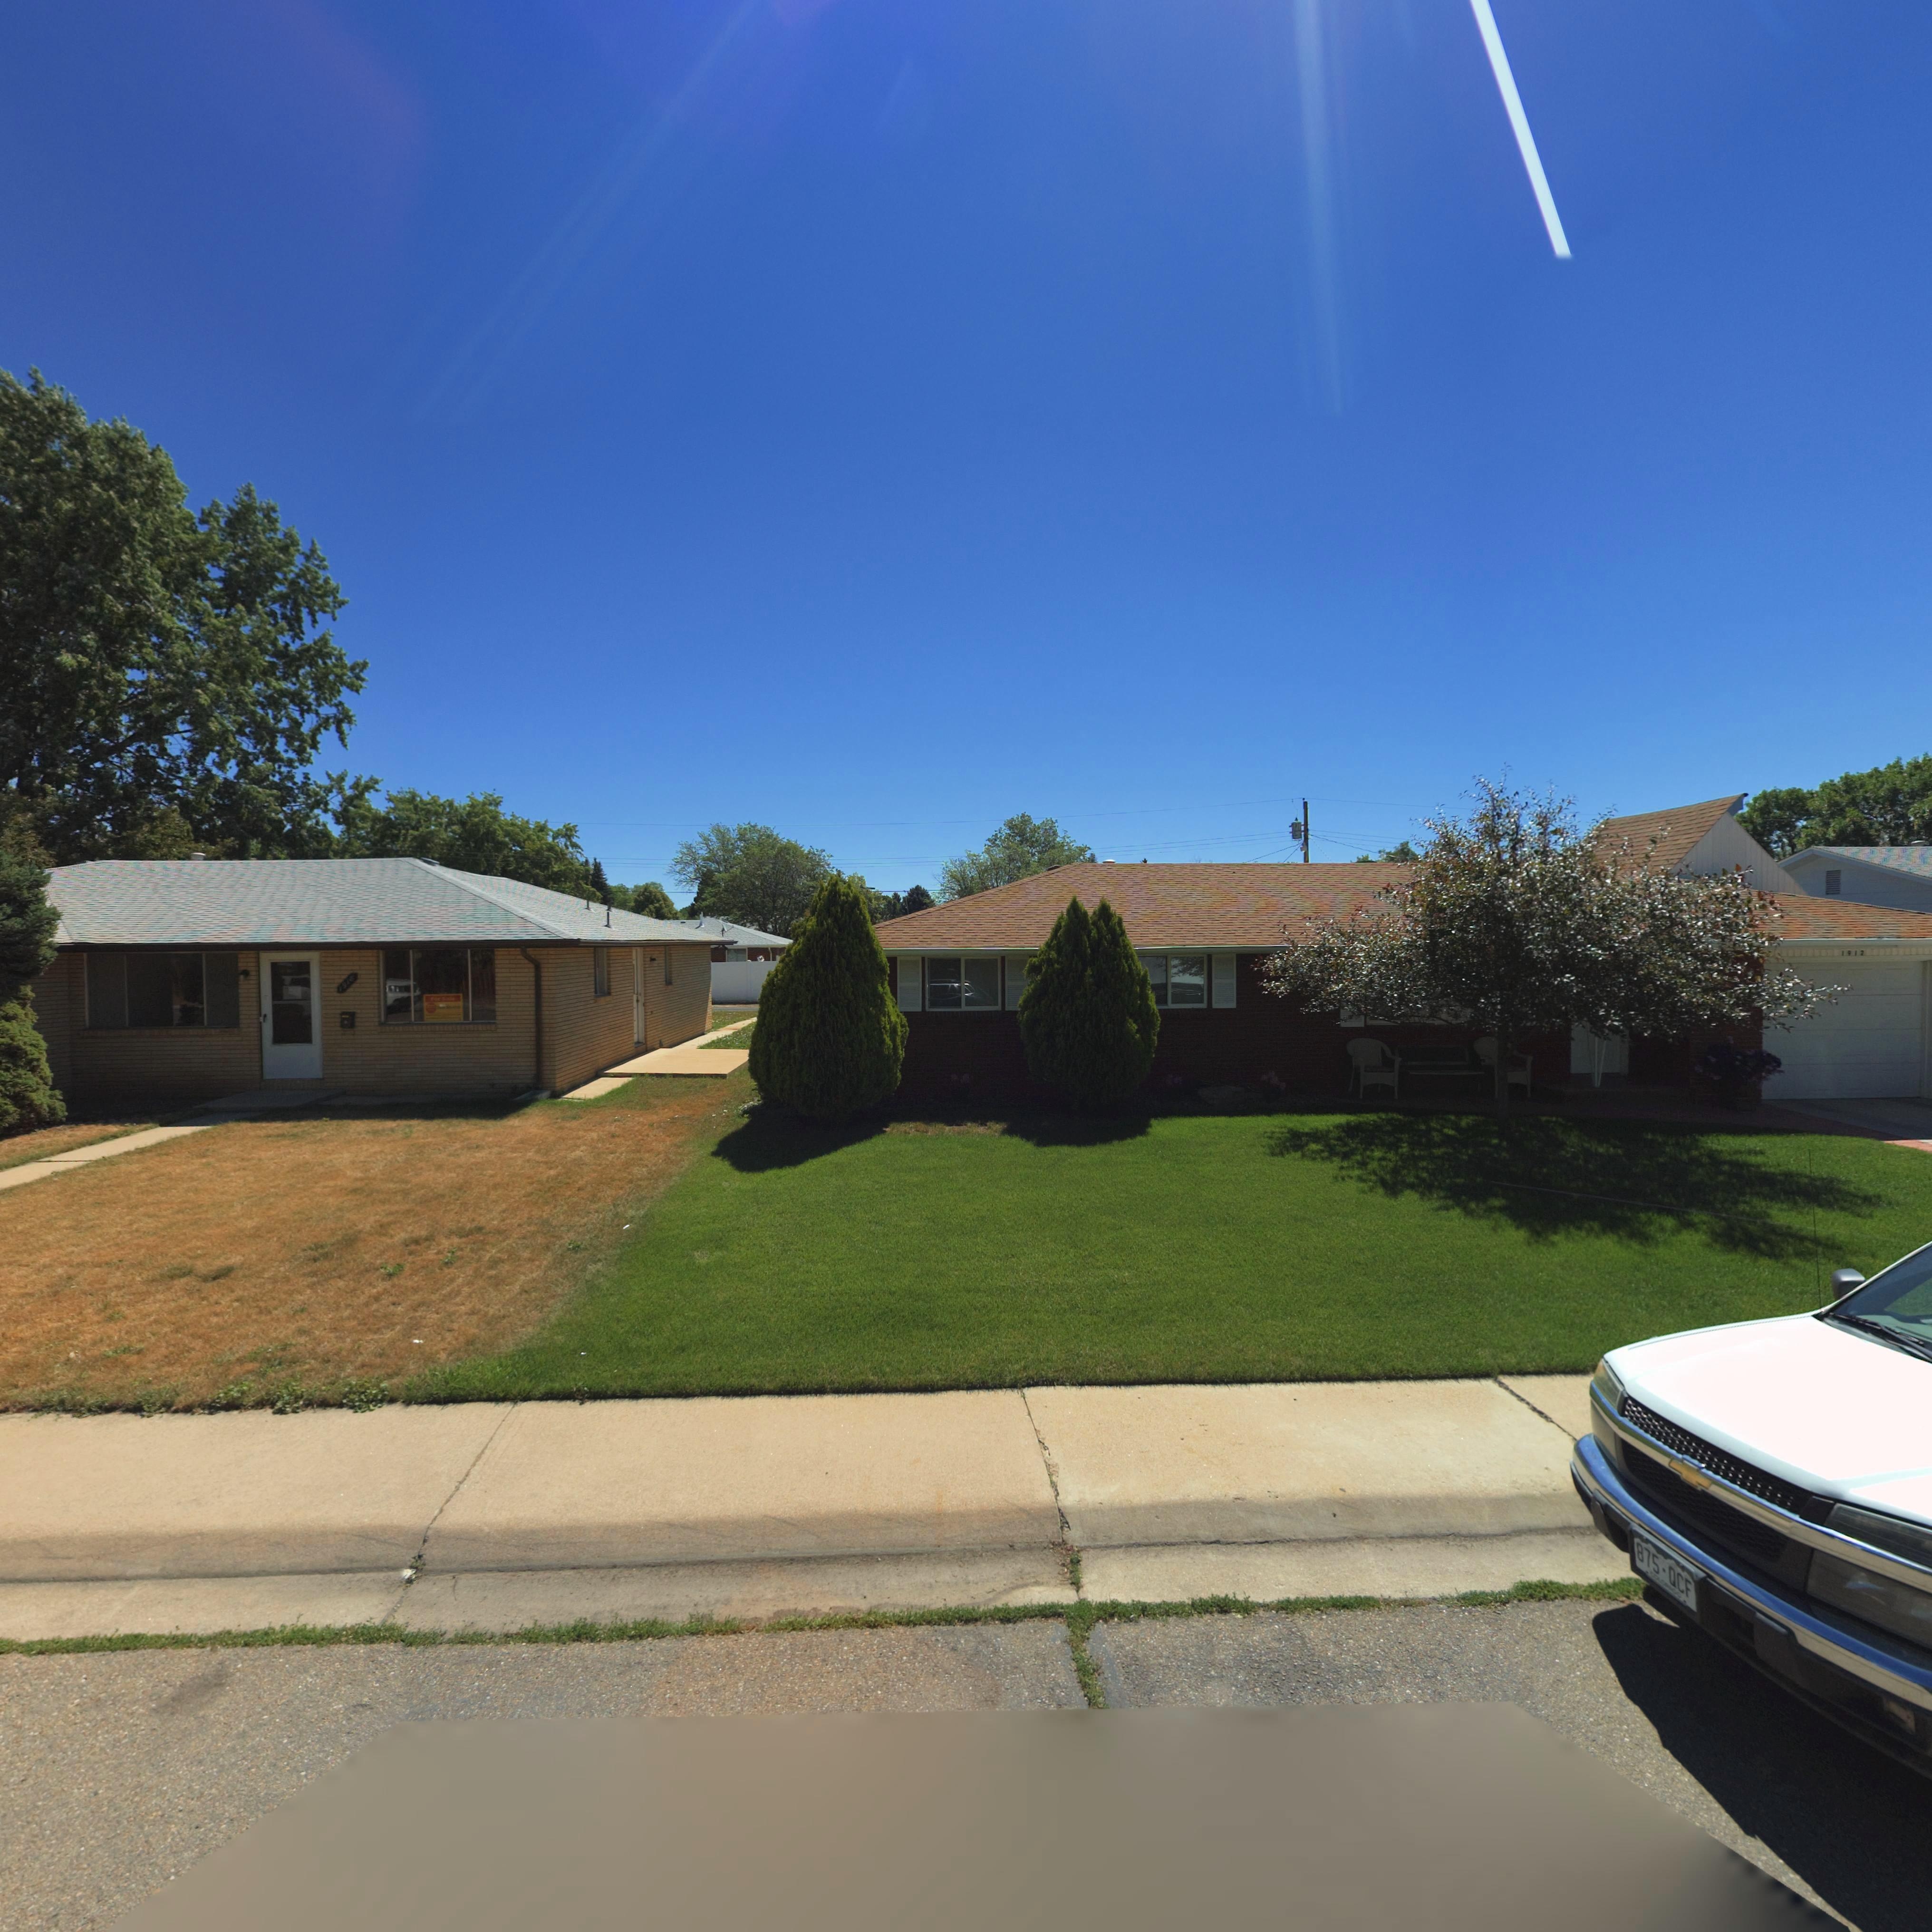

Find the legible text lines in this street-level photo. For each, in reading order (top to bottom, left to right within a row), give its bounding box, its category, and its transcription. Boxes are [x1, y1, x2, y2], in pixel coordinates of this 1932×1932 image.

[1841, 949, 1864, 956] StreetNumber: 1912
[338, 975, 356, 992] StreetNumber: 1918